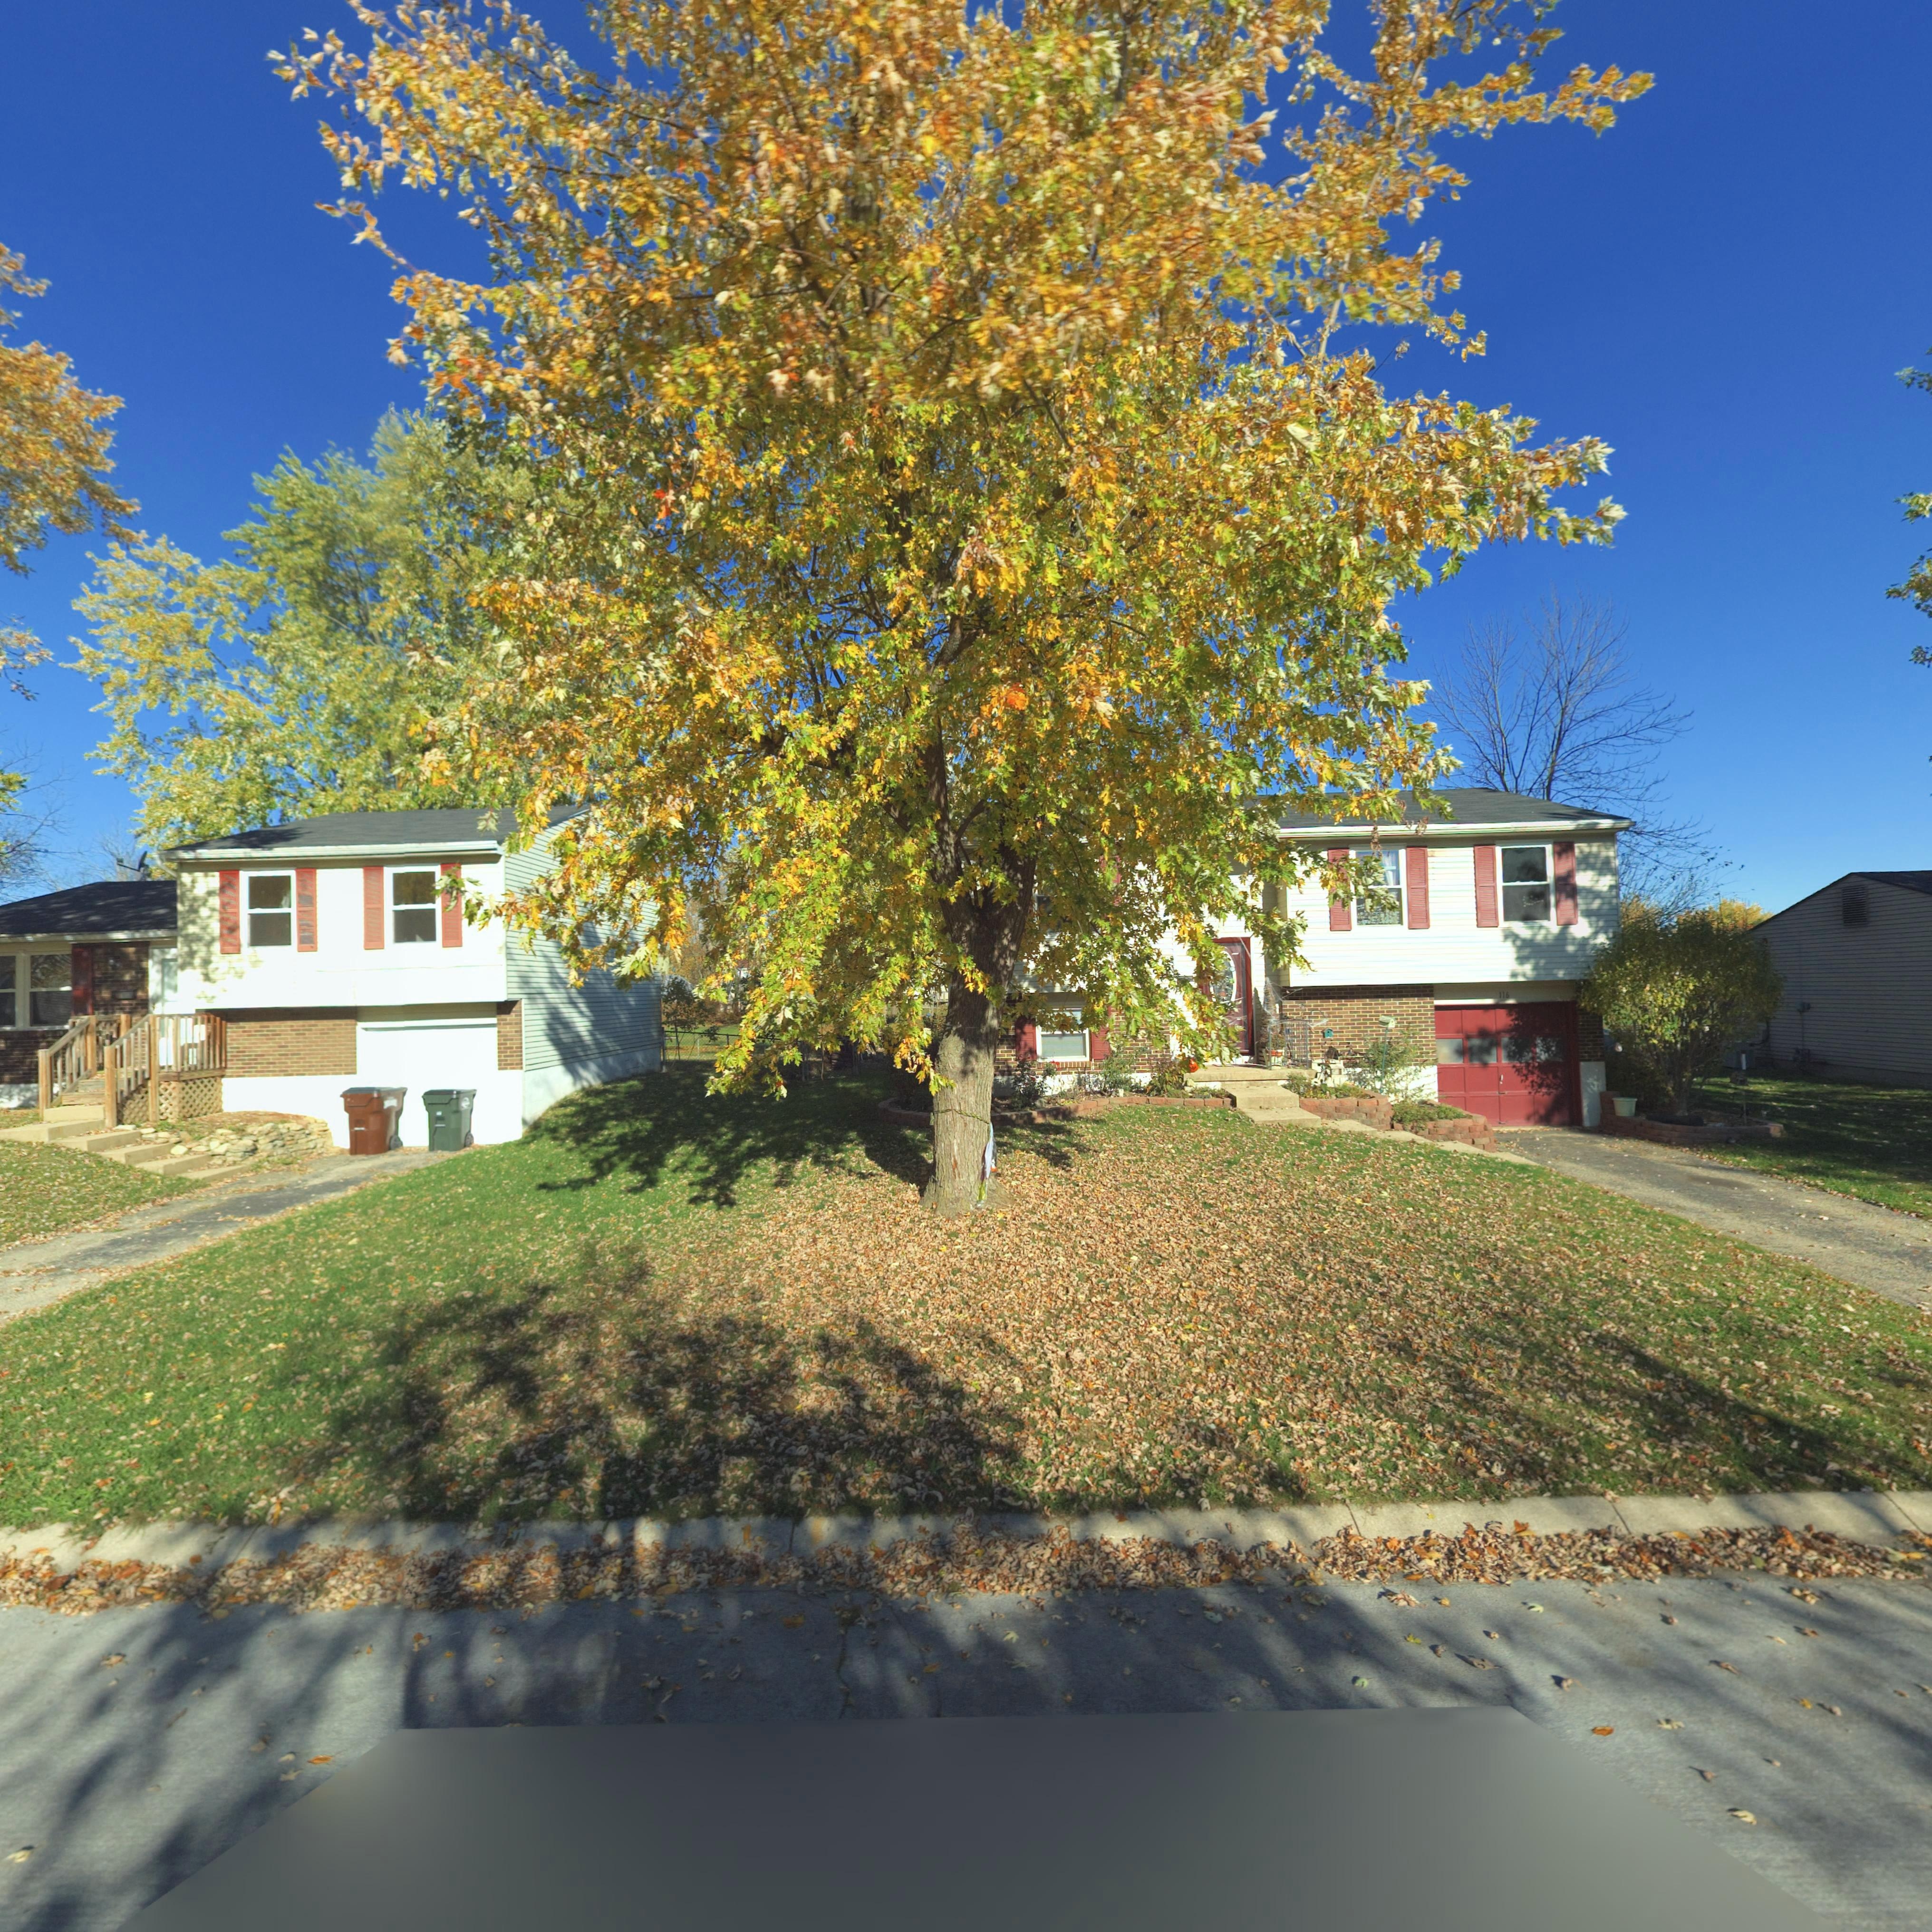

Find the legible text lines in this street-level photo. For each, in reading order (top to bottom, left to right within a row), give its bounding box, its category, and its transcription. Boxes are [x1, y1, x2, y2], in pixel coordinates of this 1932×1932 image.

[1498, 991, 1510, 999] StreetNumber: 116